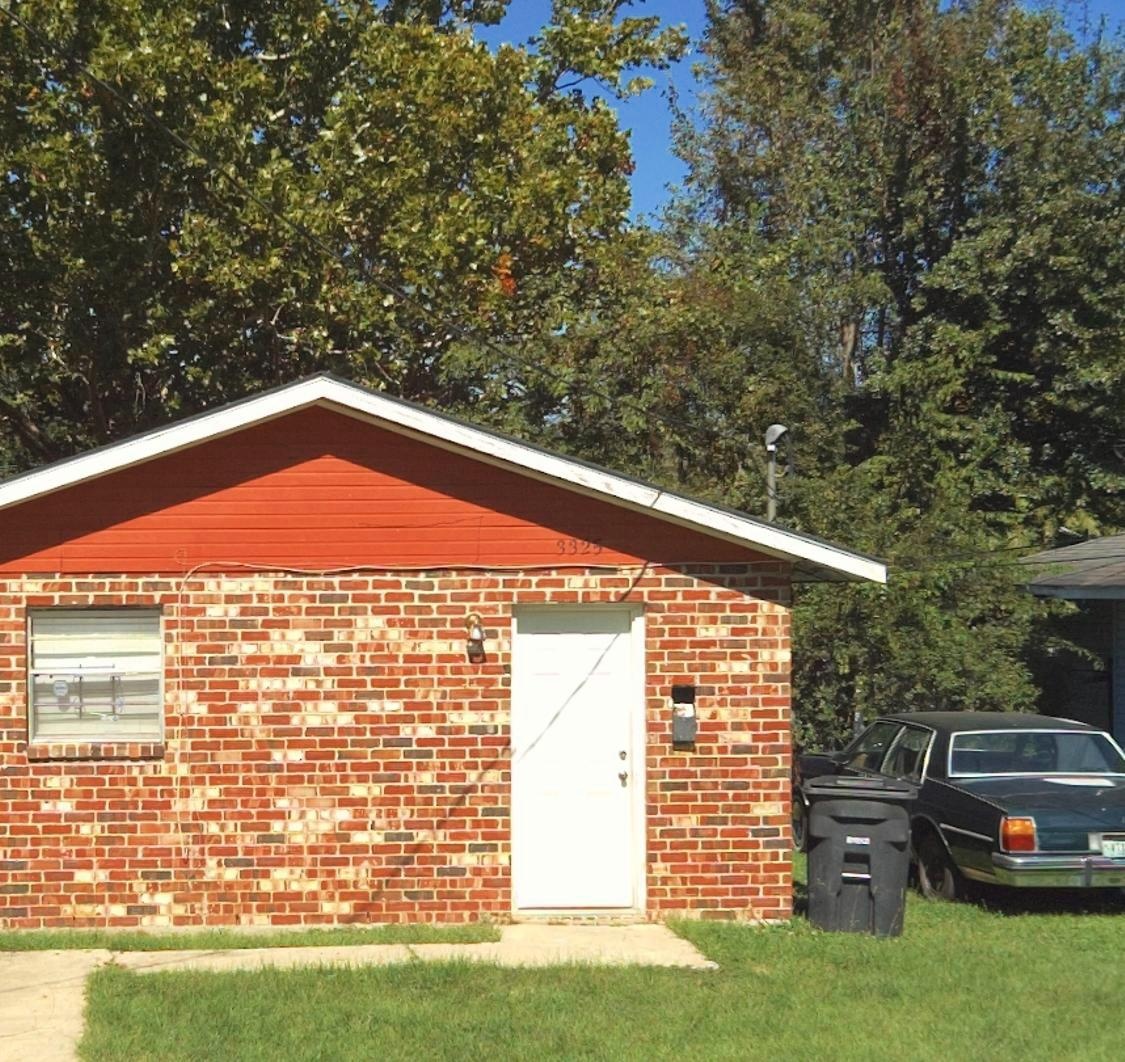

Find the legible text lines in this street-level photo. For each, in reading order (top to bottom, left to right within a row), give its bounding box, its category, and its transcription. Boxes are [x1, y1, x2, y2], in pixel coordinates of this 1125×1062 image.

[555, 536, 604, 557] StreetNumber: 3325